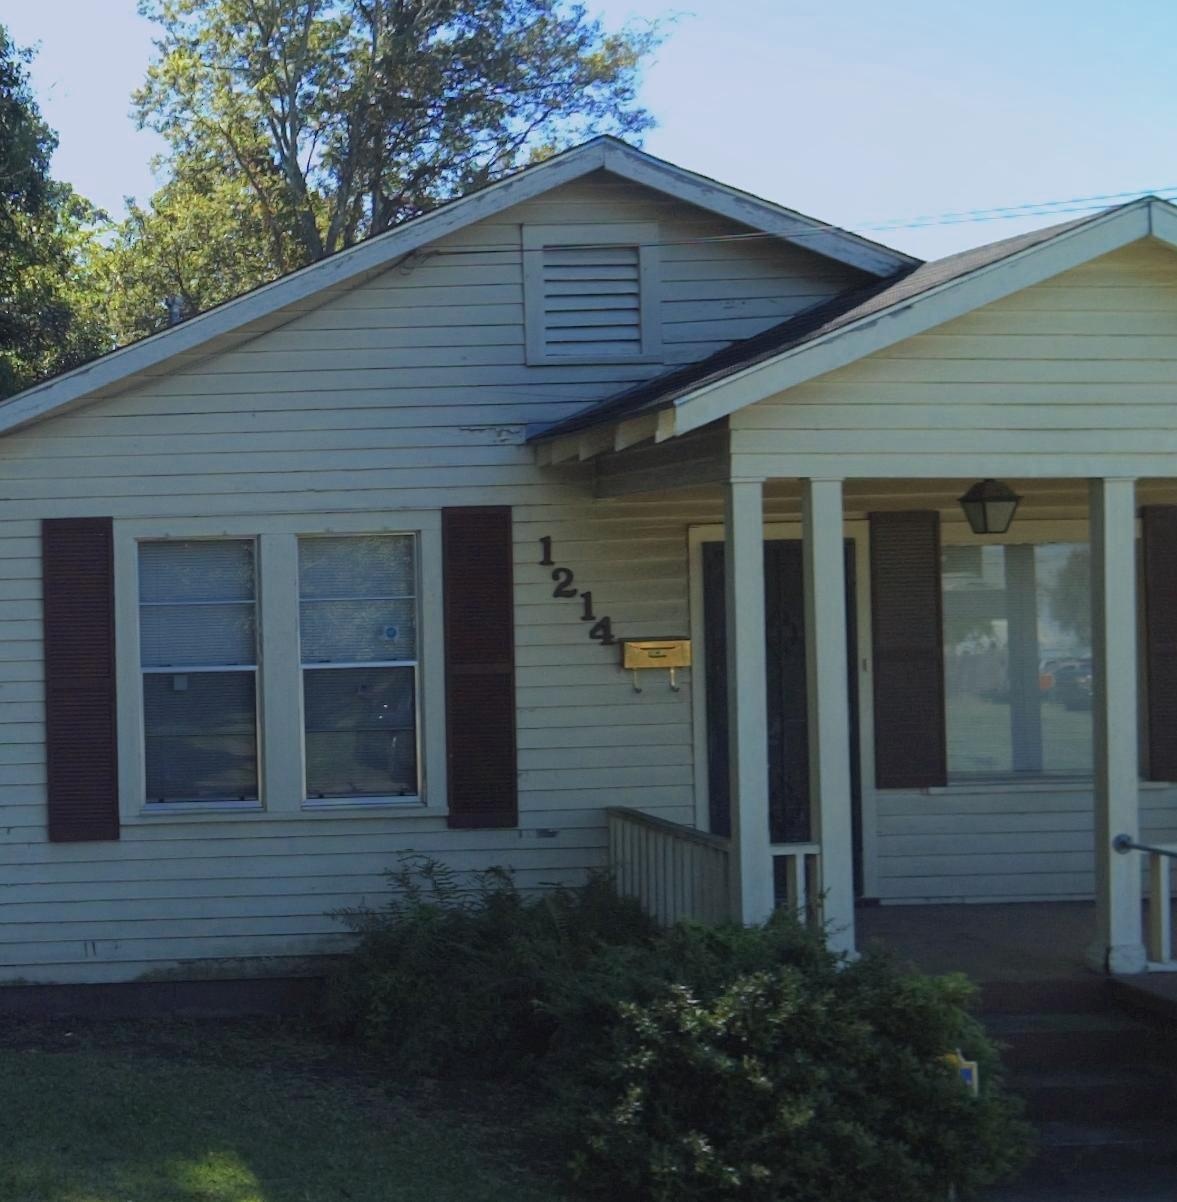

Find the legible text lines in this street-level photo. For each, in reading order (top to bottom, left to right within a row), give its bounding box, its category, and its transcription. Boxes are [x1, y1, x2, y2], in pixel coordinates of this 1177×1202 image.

[535, 532, 619, 648] StreetNumber: 1214